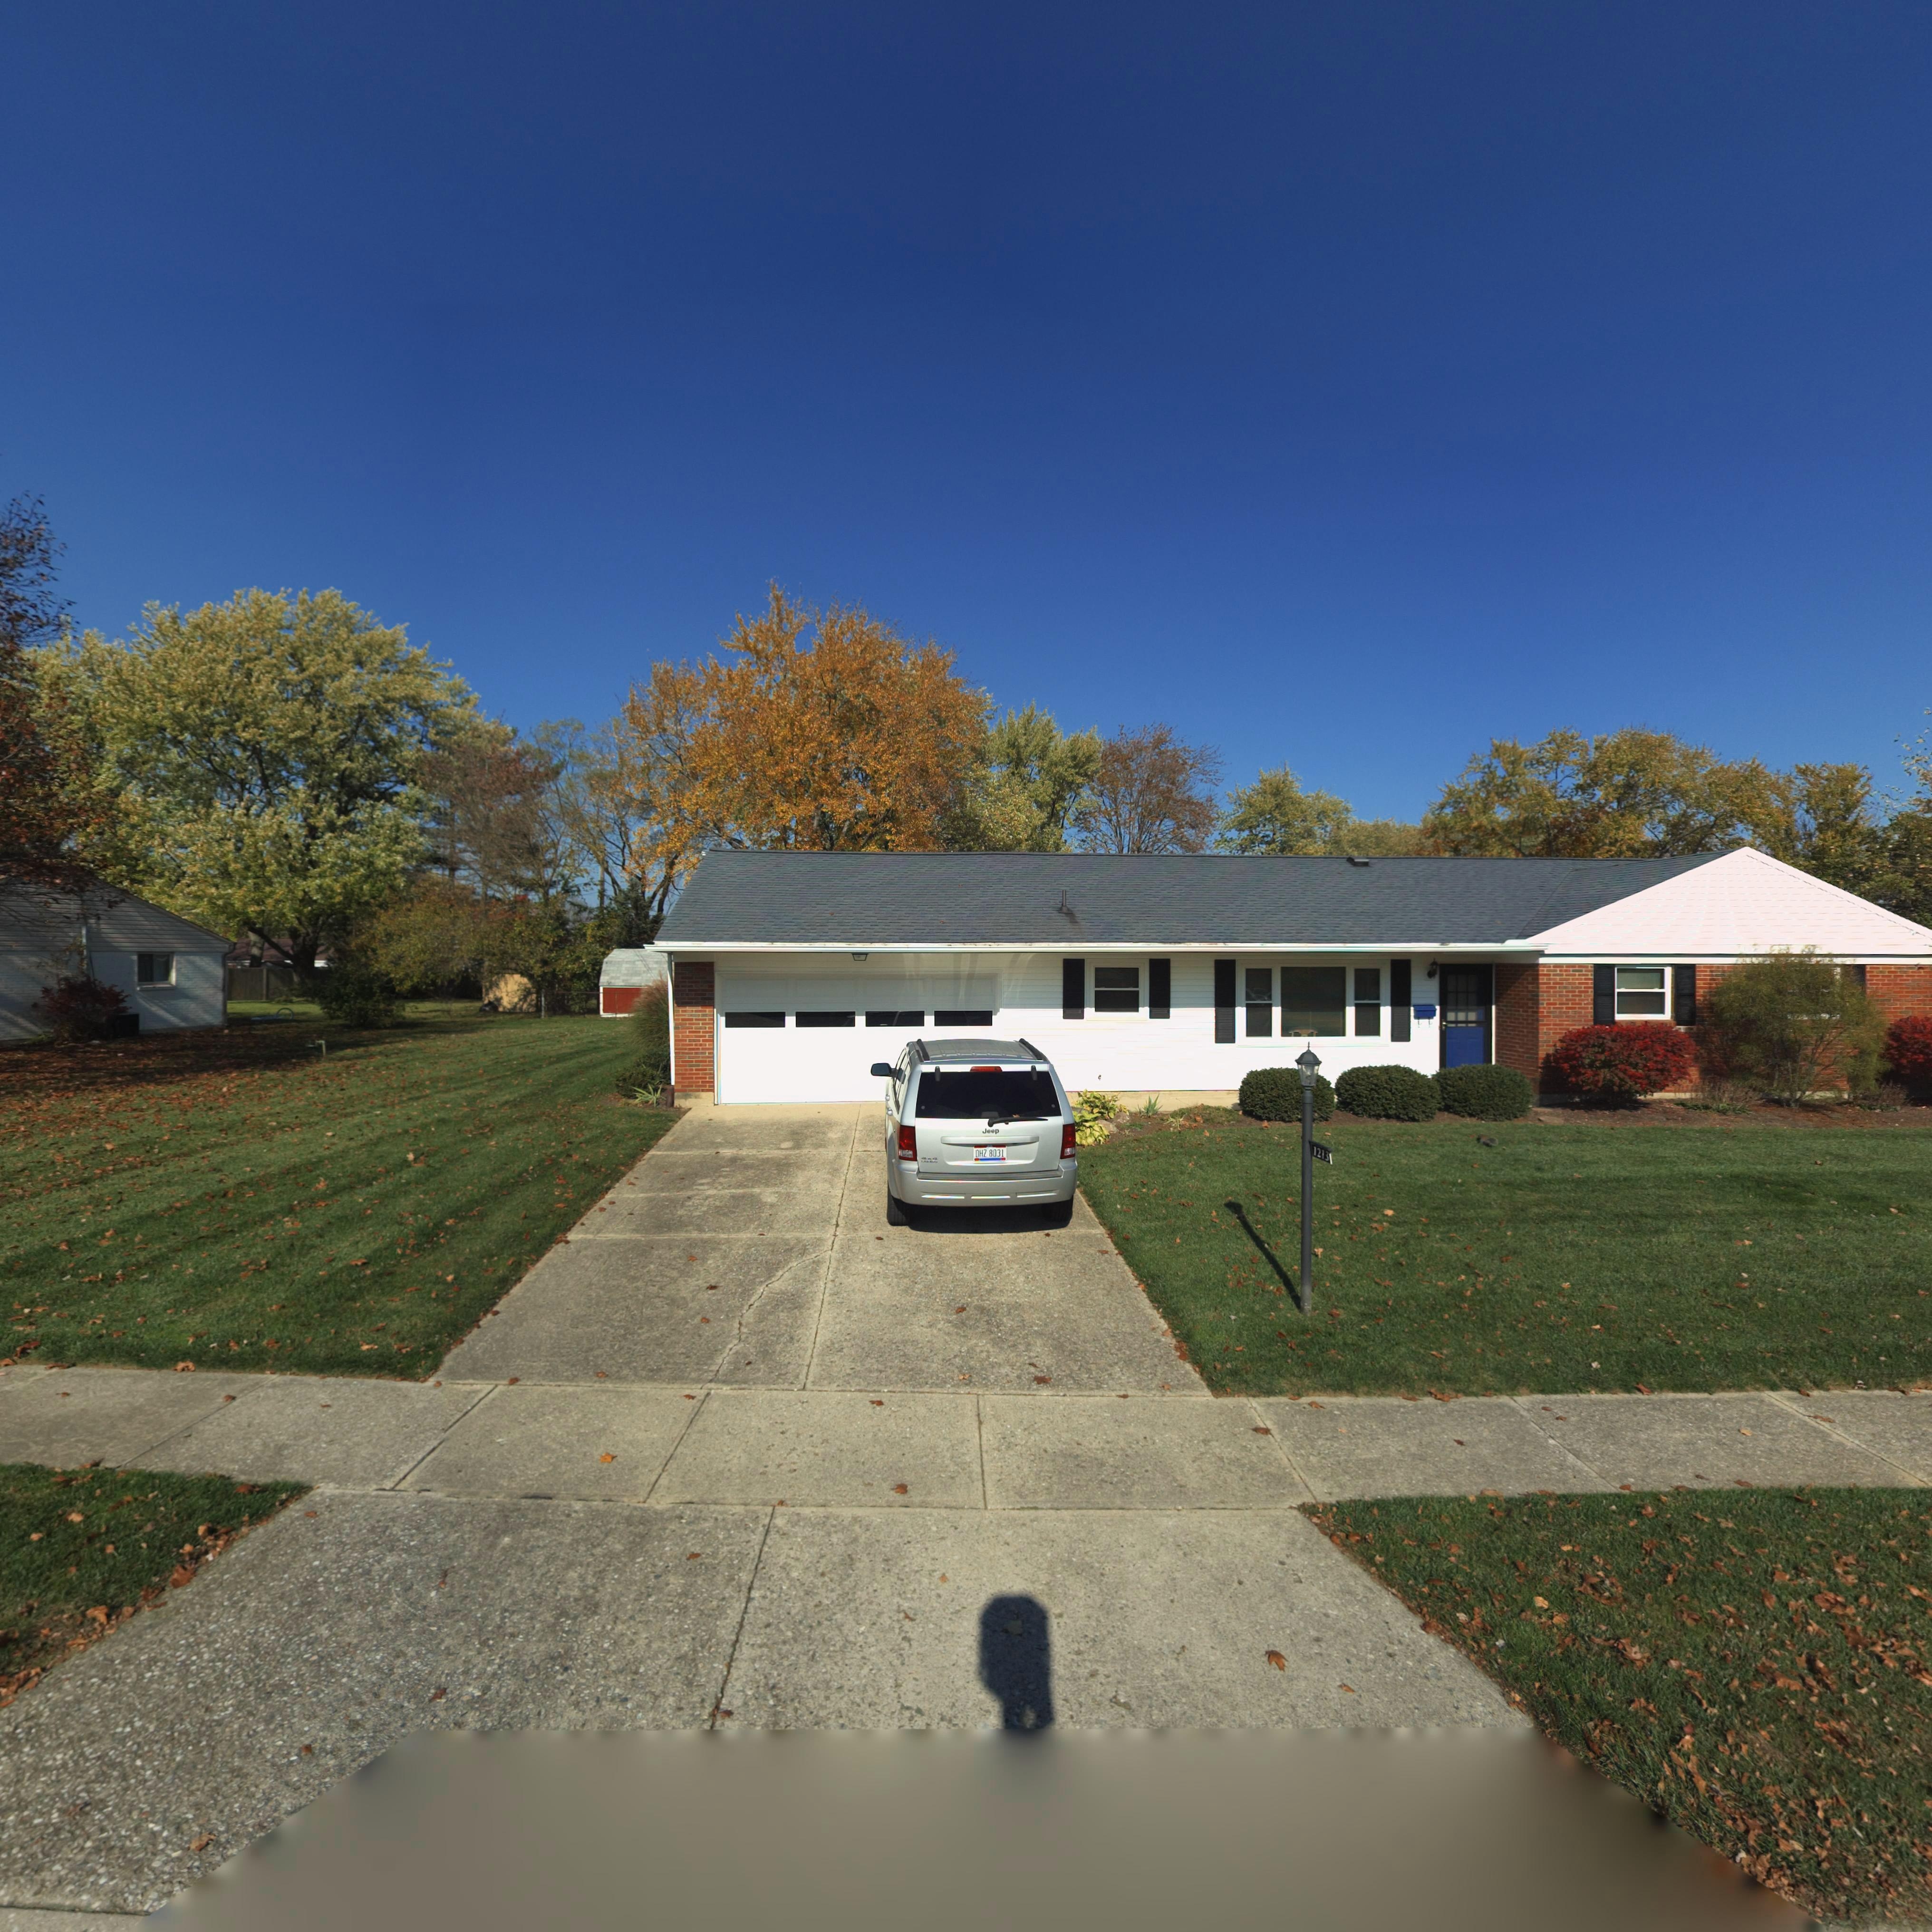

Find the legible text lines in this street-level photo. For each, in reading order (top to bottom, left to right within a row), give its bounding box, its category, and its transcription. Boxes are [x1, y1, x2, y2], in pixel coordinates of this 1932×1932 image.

[982, 1128, 1000, 1135] None: Jeep
[920, 1156, 938, 1160] None: 4x4
[975, 1149, 1005, 1157] None: DHZ 8031
[1312, 1145, 1329, 1163] StreetNumber: 1213